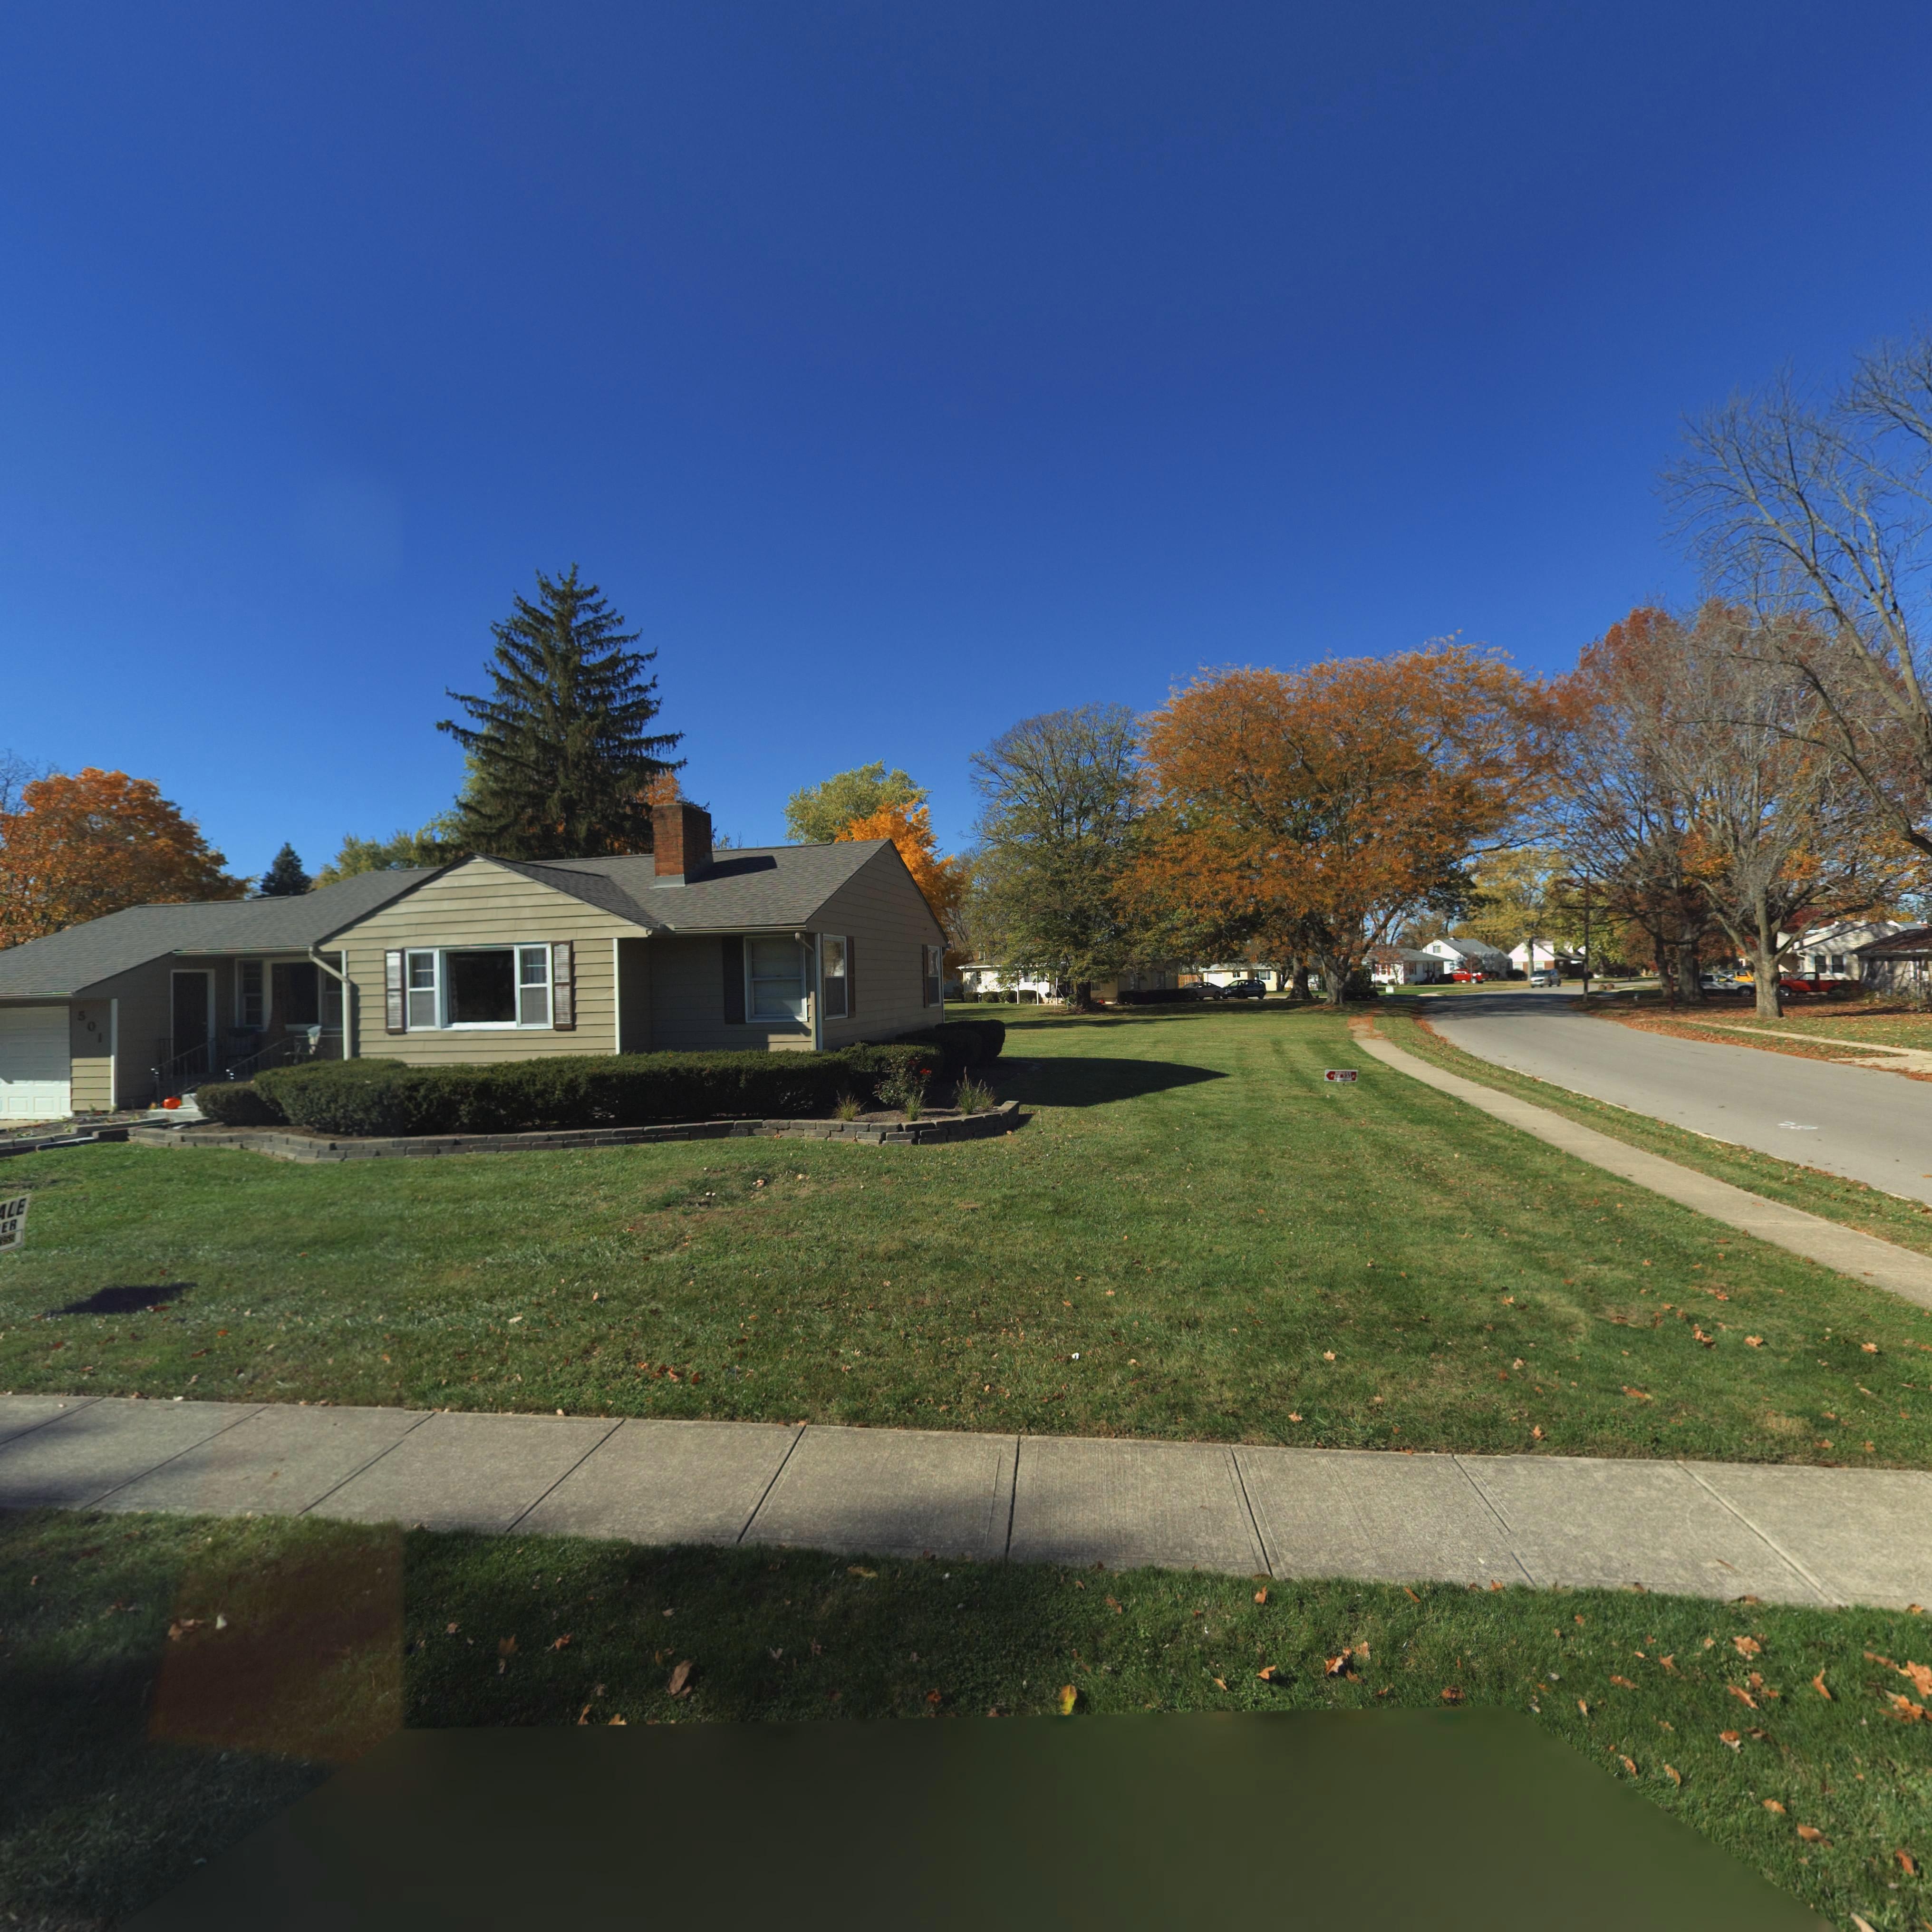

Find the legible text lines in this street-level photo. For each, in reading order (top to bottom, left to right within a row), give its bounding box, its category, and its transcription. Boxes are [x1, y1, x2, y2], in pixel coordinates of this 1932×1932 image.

[77, 1010, 103, 1043] StreetNumber: 501